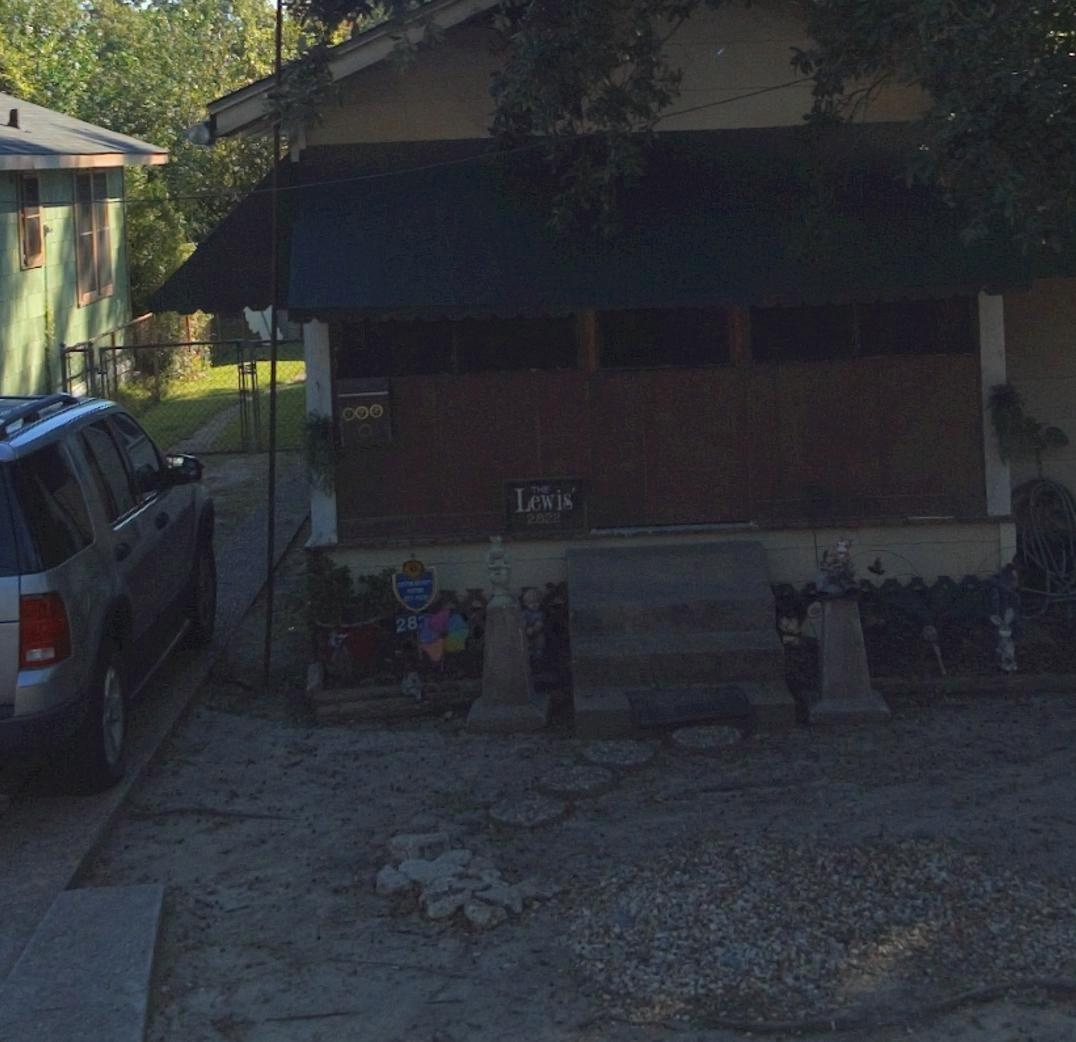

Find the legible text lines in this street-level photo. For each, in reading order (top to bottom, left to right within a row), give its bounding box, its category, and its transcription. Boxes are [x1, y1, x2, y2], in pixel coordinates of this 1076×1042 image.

[529, 483, 552, 495] None: THE
[512, 485, 578, 514] None: Lewis'
[525, 511, 562, 526] StreetNumber: 2822
[392, 612, 421, 636] StreetNumber: 28